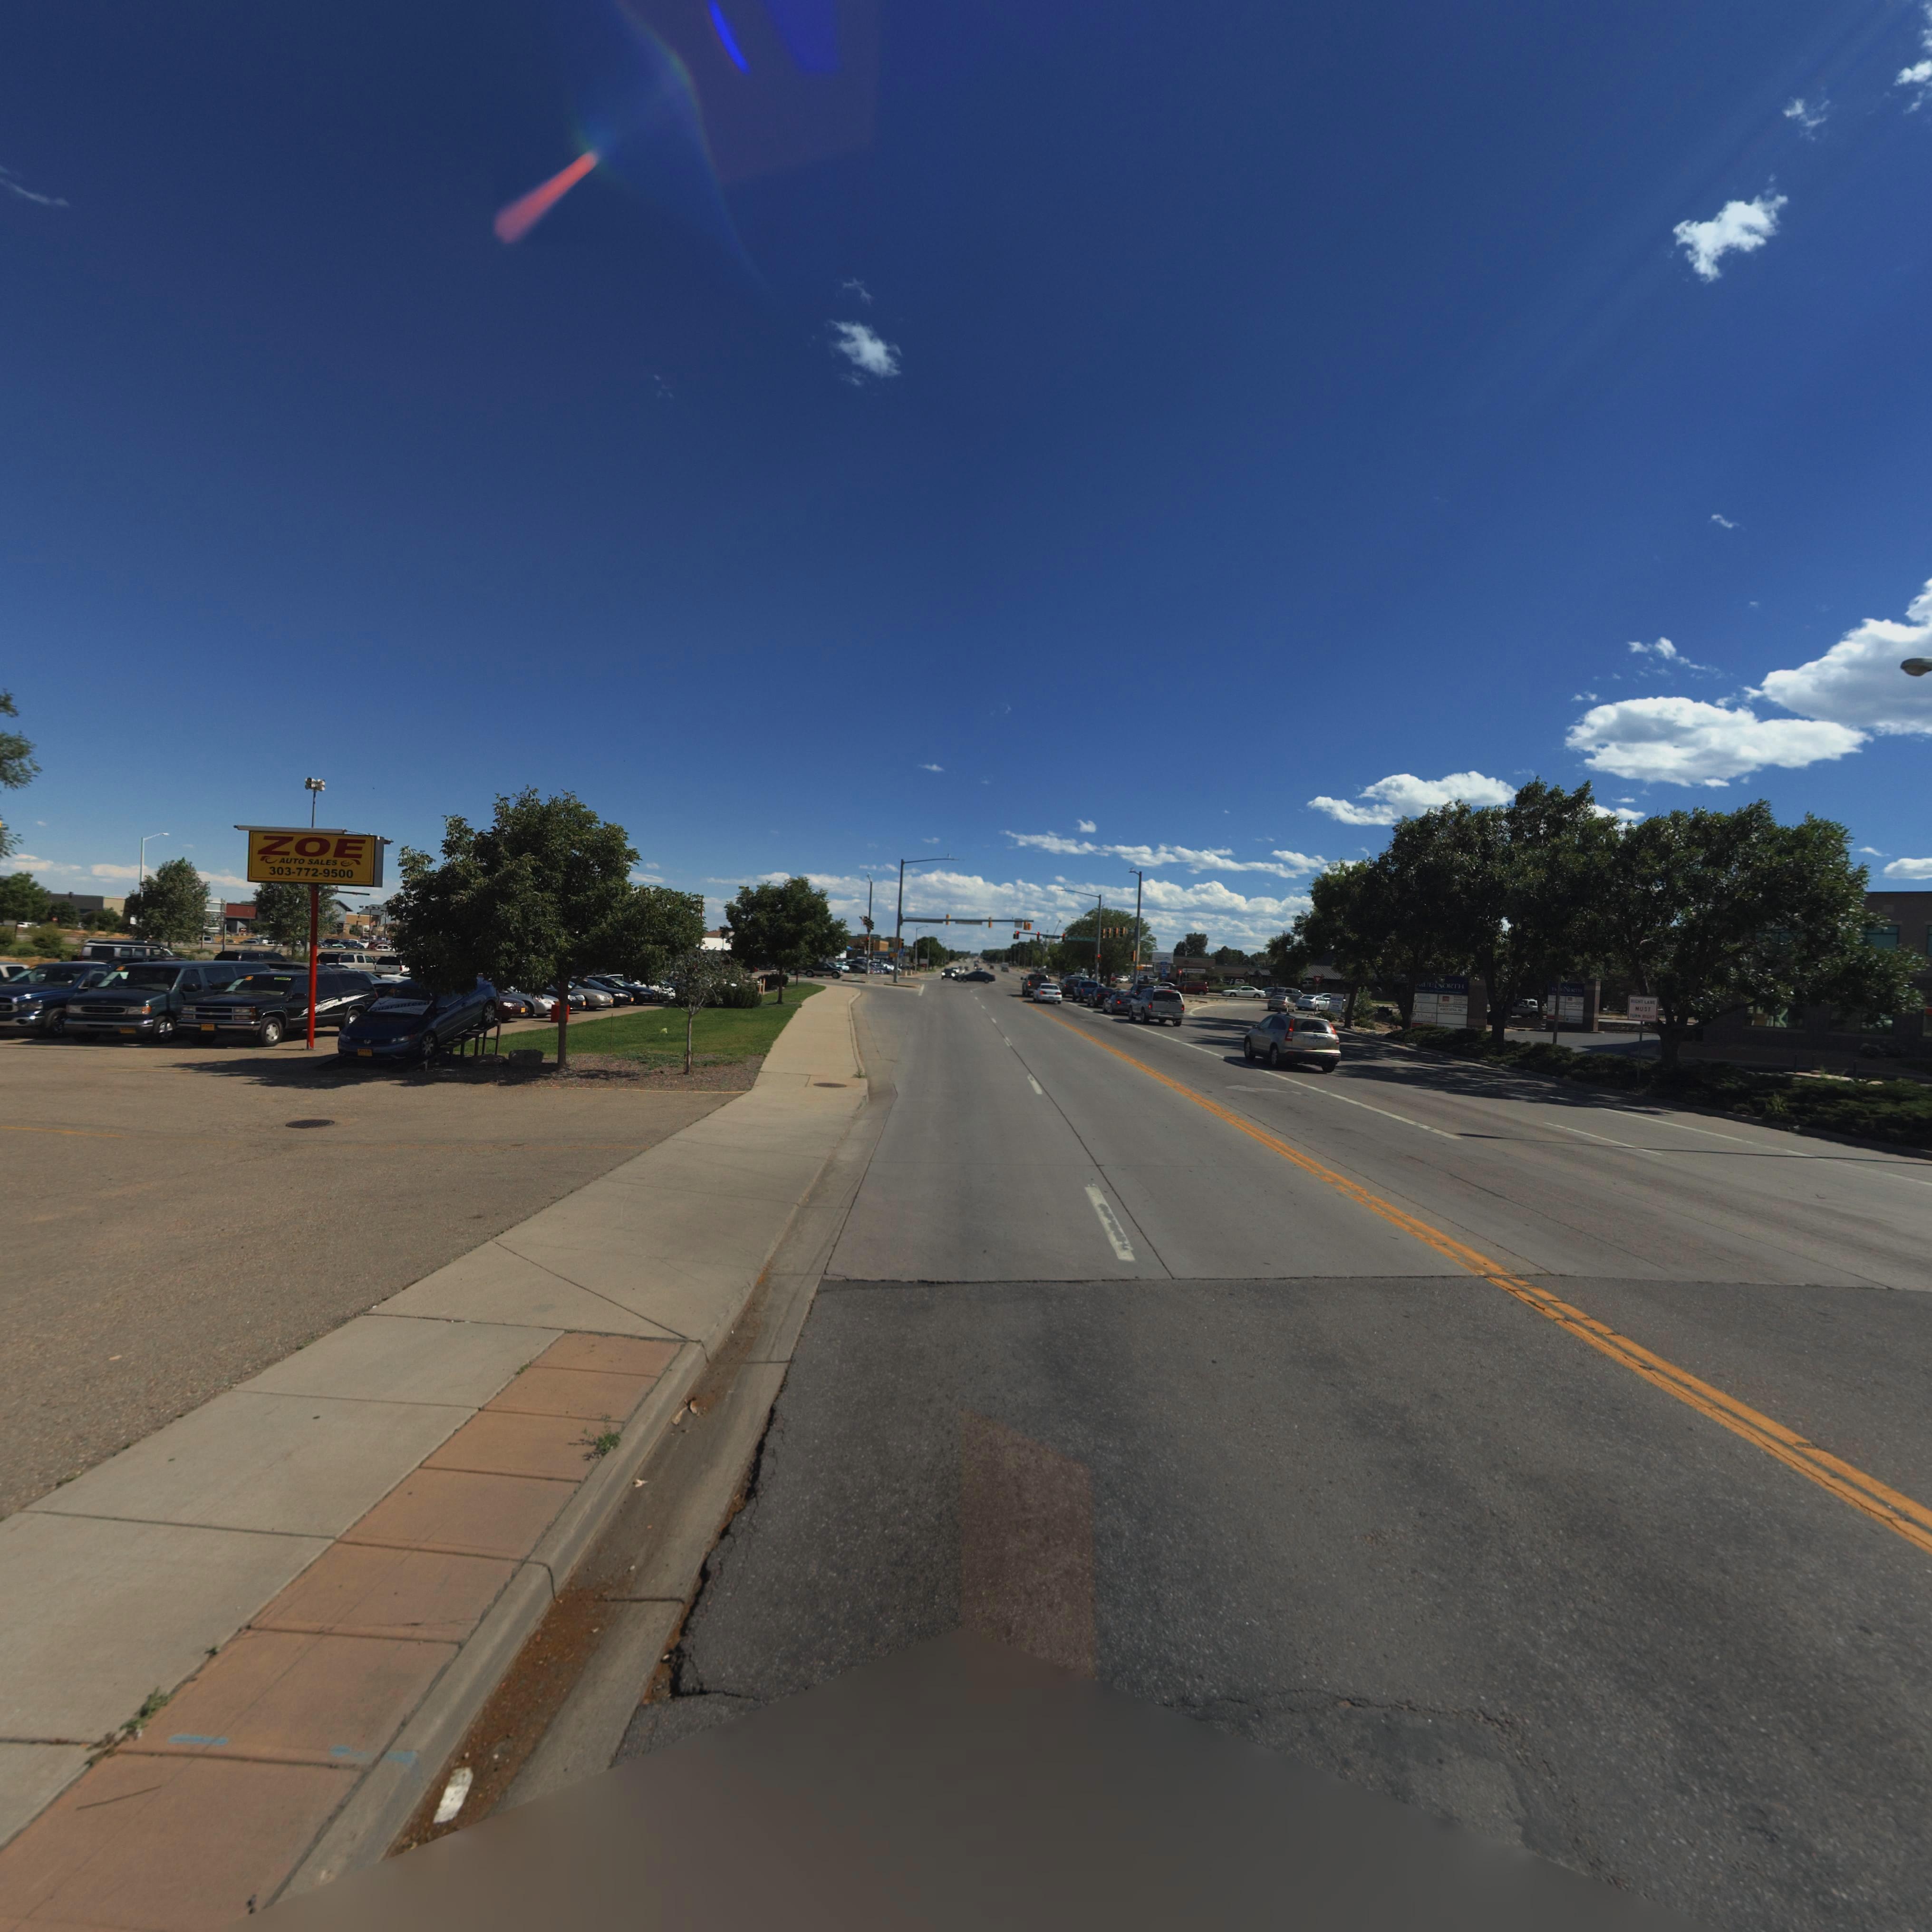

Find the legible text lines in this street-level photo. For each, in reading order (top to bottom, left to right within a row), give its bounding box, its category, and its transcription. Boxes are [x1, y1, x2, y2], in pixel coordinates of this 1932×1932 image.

[257, 835, 367, 859] BusinessName: ZOE
[278, 857, 338, 866] BusinessName: AUTO SALES